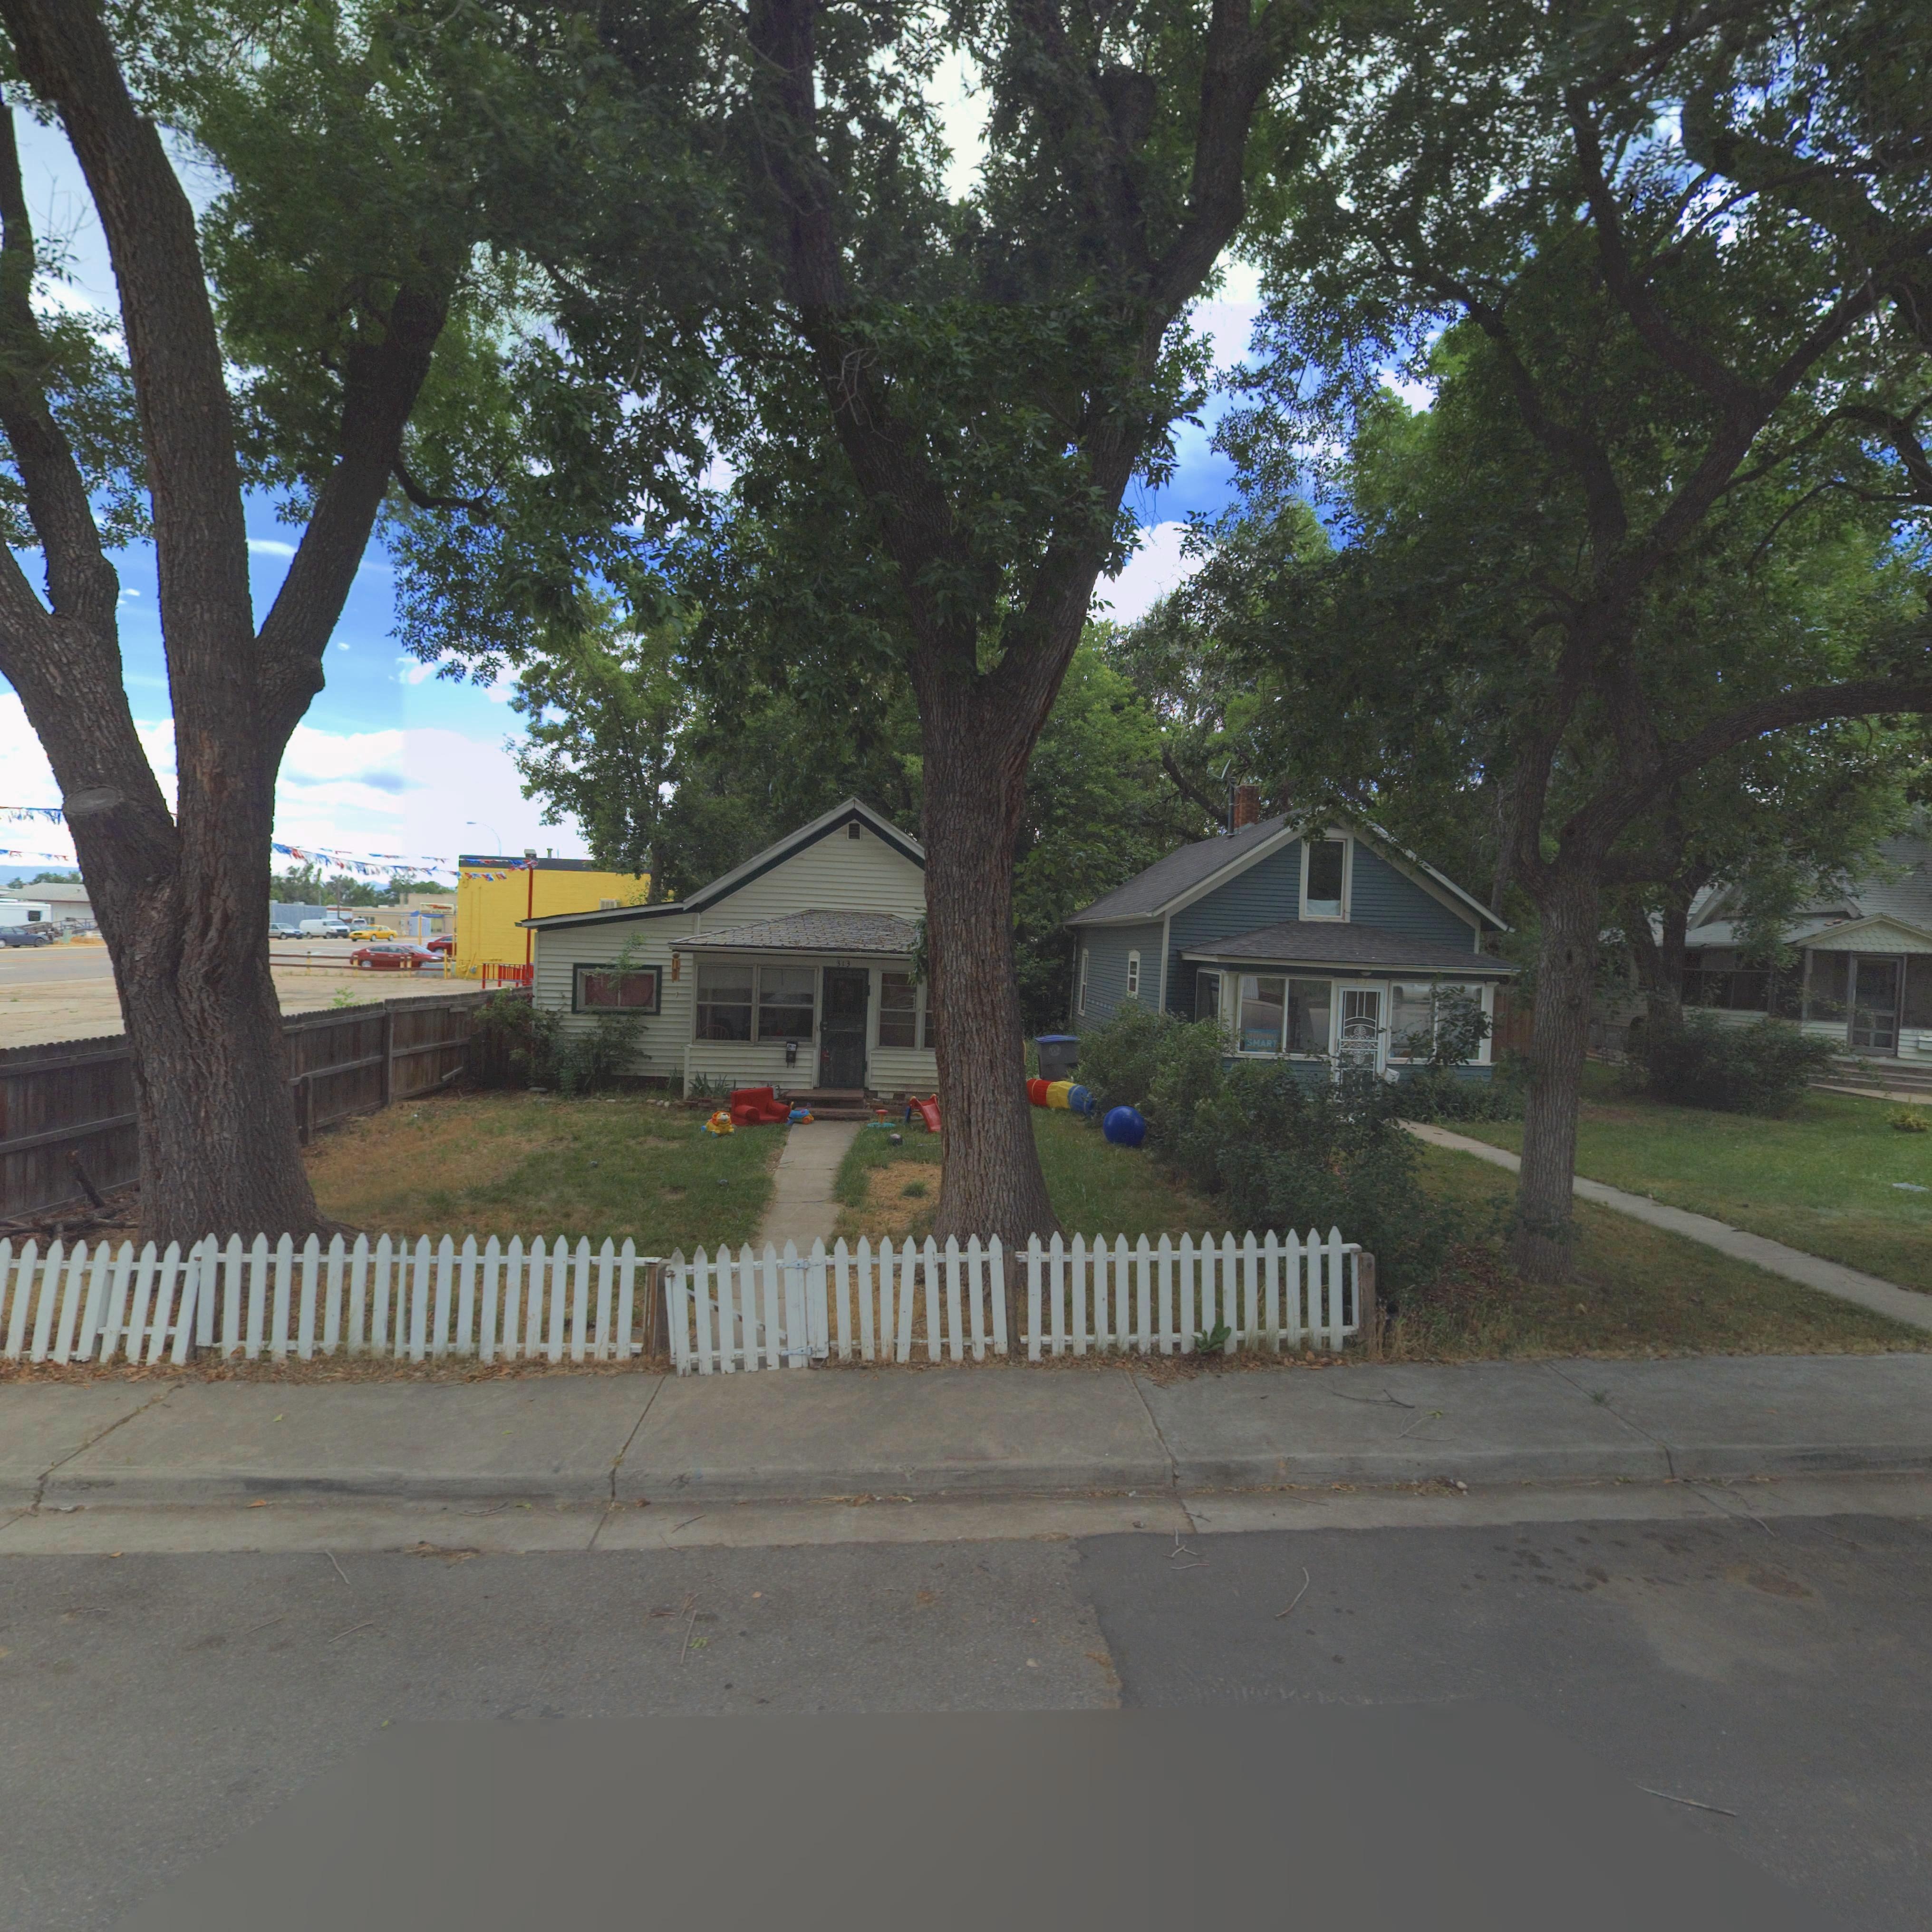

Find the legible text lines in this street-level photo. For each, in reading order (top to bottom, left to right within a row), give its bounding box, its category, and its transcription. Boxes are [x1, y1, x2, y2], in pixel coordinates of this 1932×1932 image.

[836, 959, 850, 967] StreetNumber: 313
[1353, 977, 1368, 985] StreetNumber: 323
[1910, 1028, 1925, 1035] StreetNumber: 325